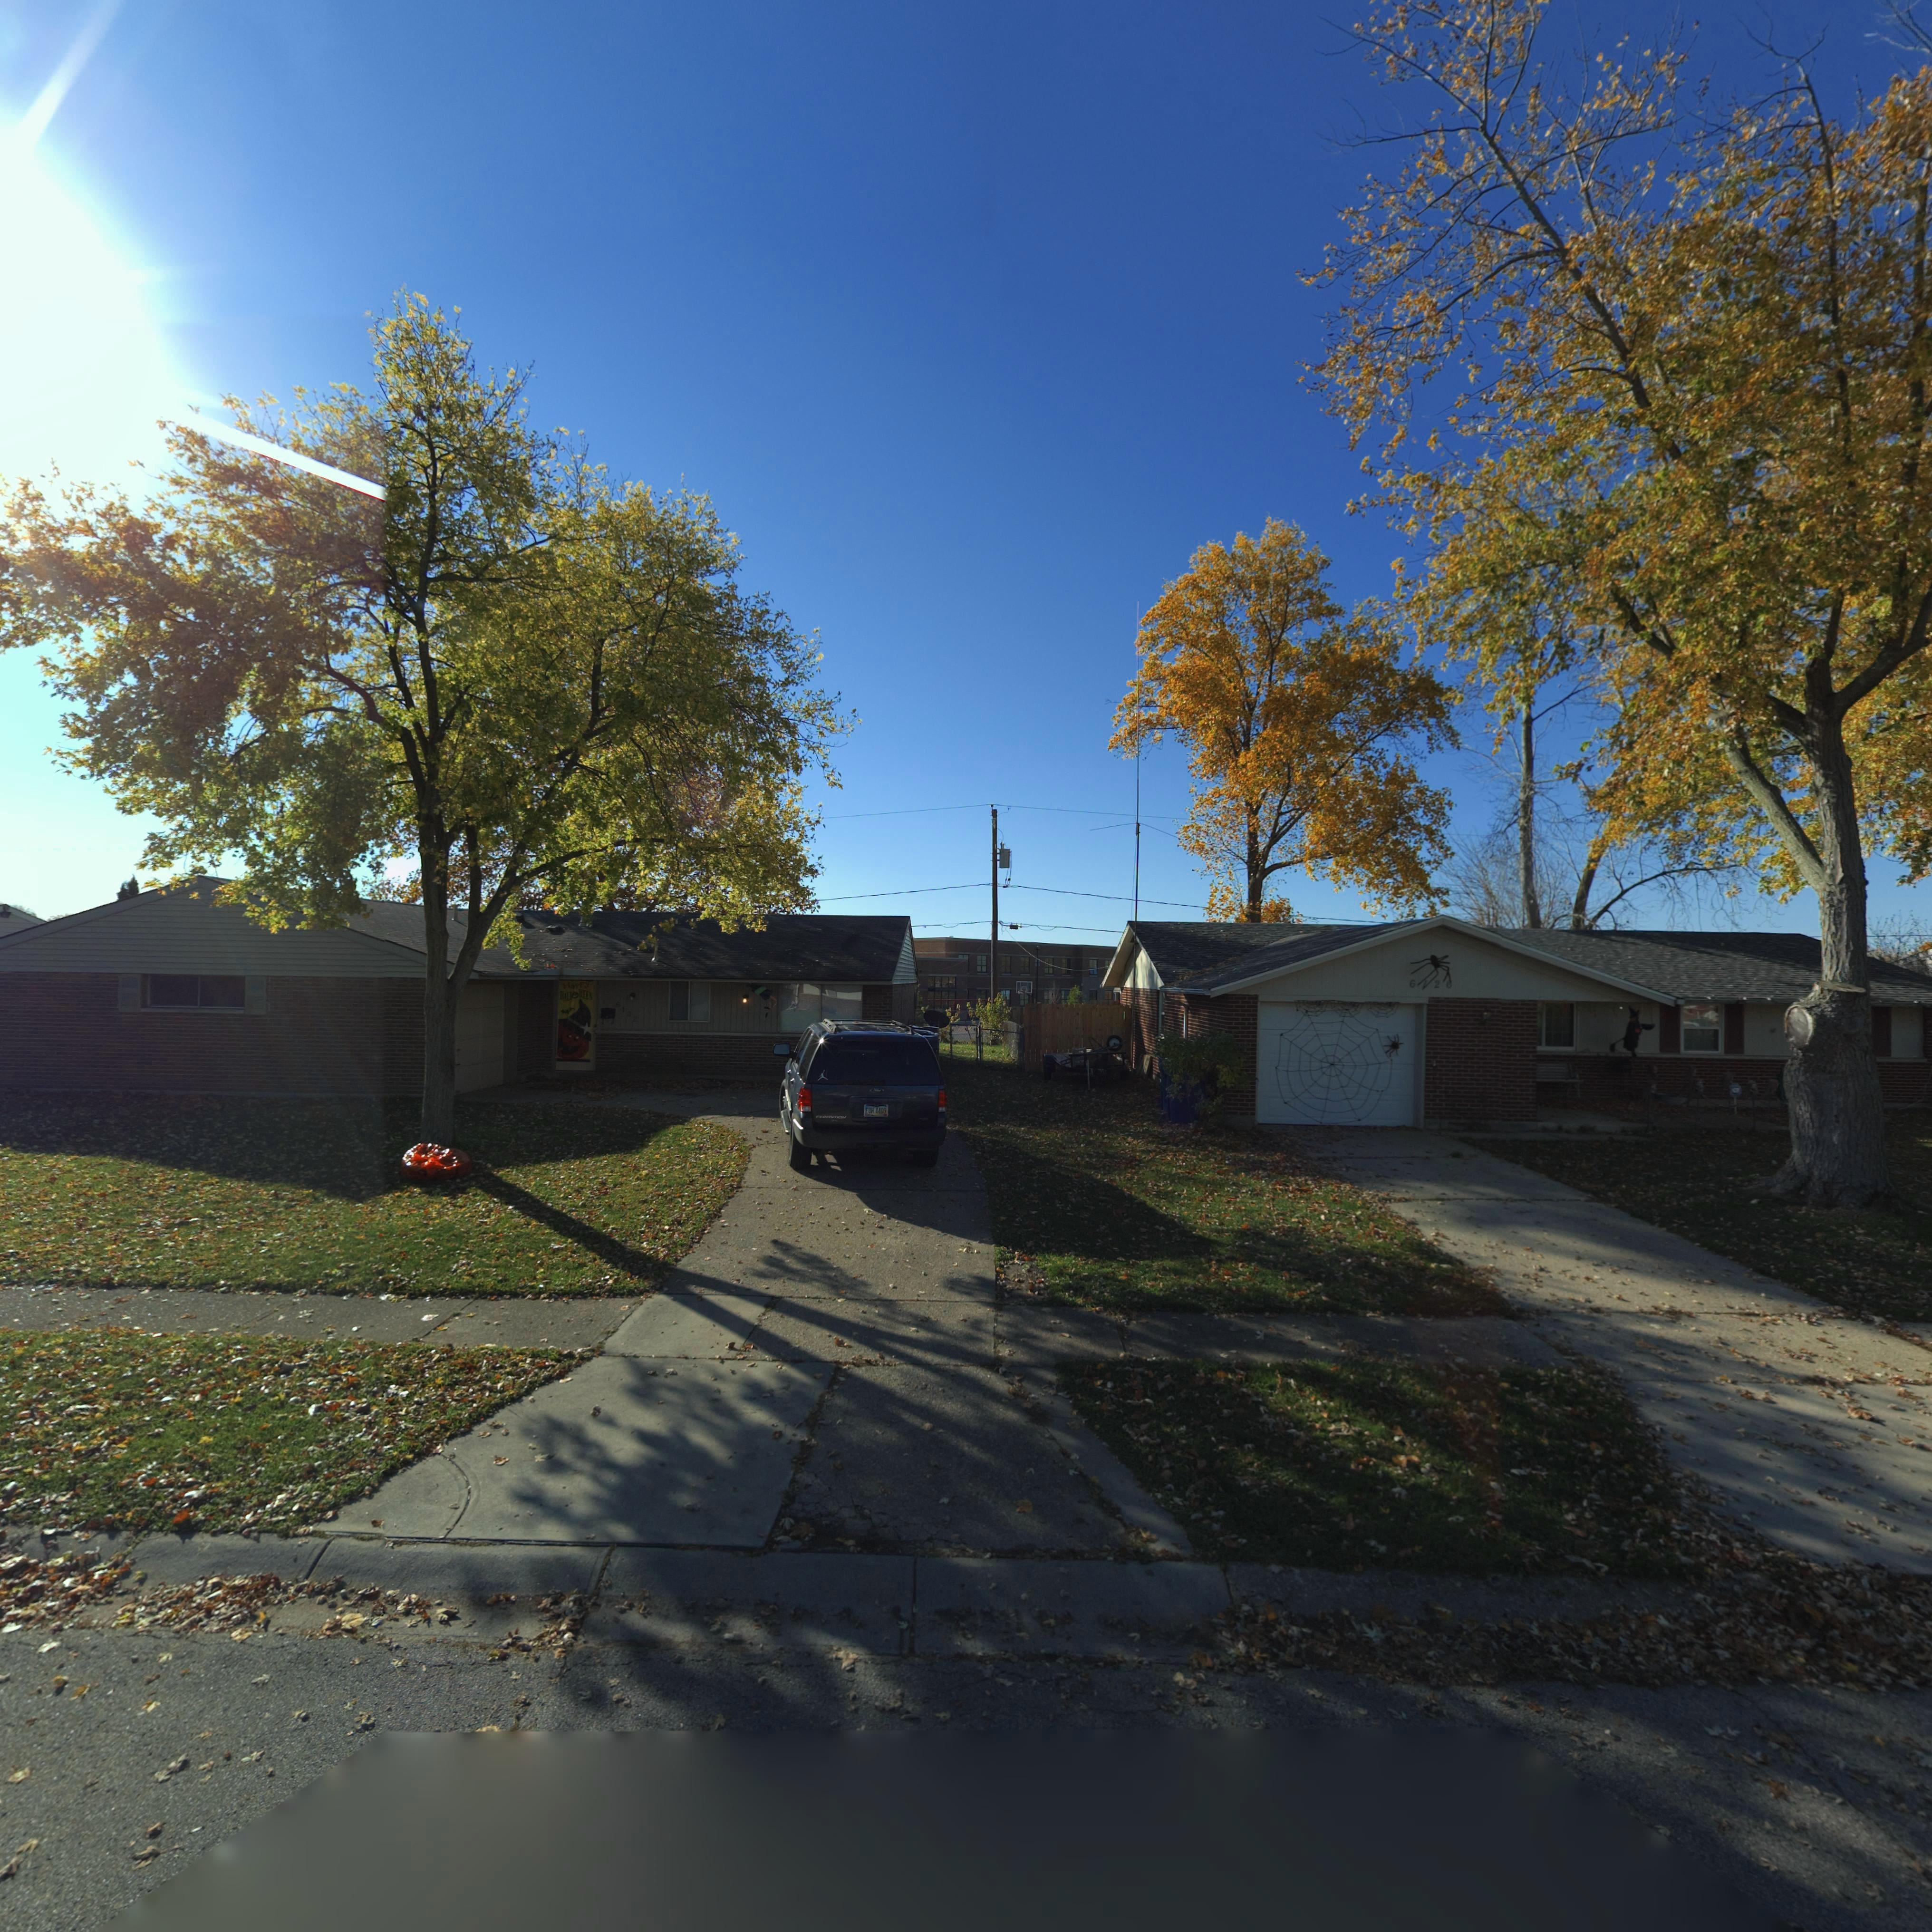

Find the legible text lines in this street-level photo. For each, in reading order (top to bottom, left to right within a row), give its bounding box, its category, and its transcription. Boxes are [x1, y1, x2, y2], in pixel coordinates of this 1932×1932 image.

[1409, 978, 1453, 989] StreetNumber: 6126
[615, 1001, 638, 1023] StreetNumber: 6132